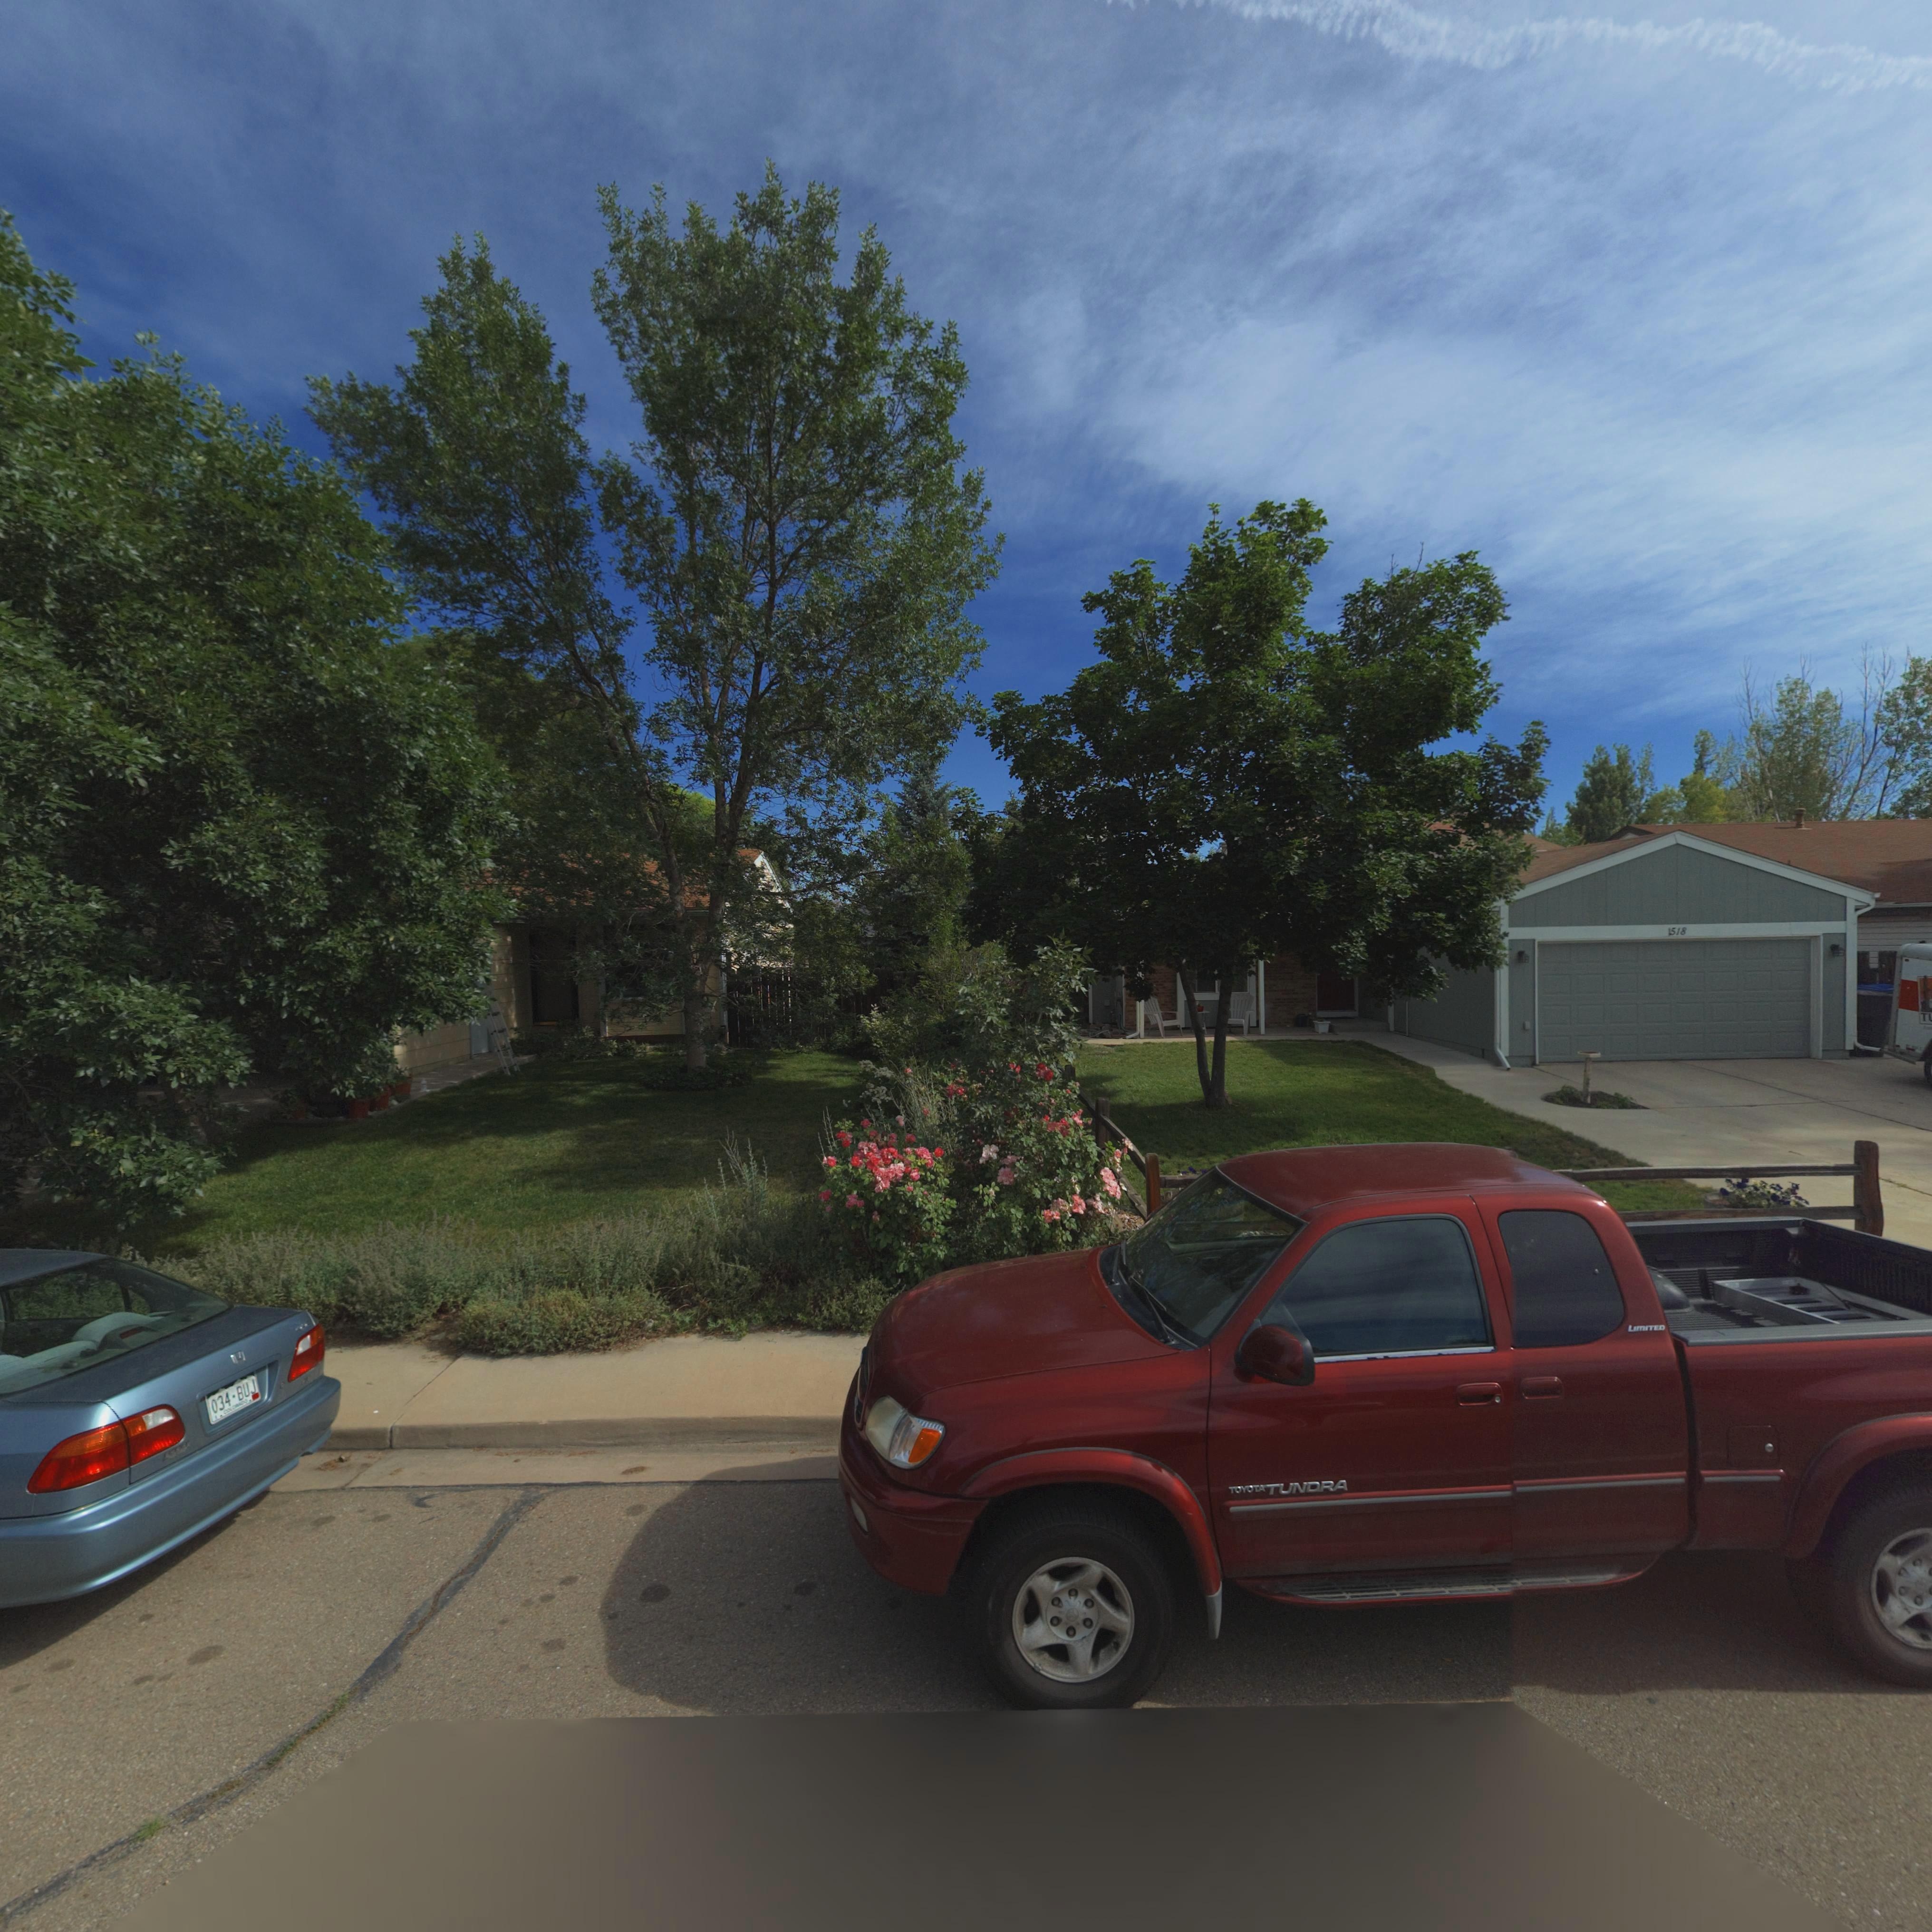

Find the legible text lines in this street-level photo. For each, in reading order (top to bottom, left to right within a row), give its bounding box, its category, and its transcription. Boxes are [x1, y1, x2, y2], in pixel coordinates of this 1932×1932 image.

[1667, 927, 1687, 936] StreetNumber: 1518